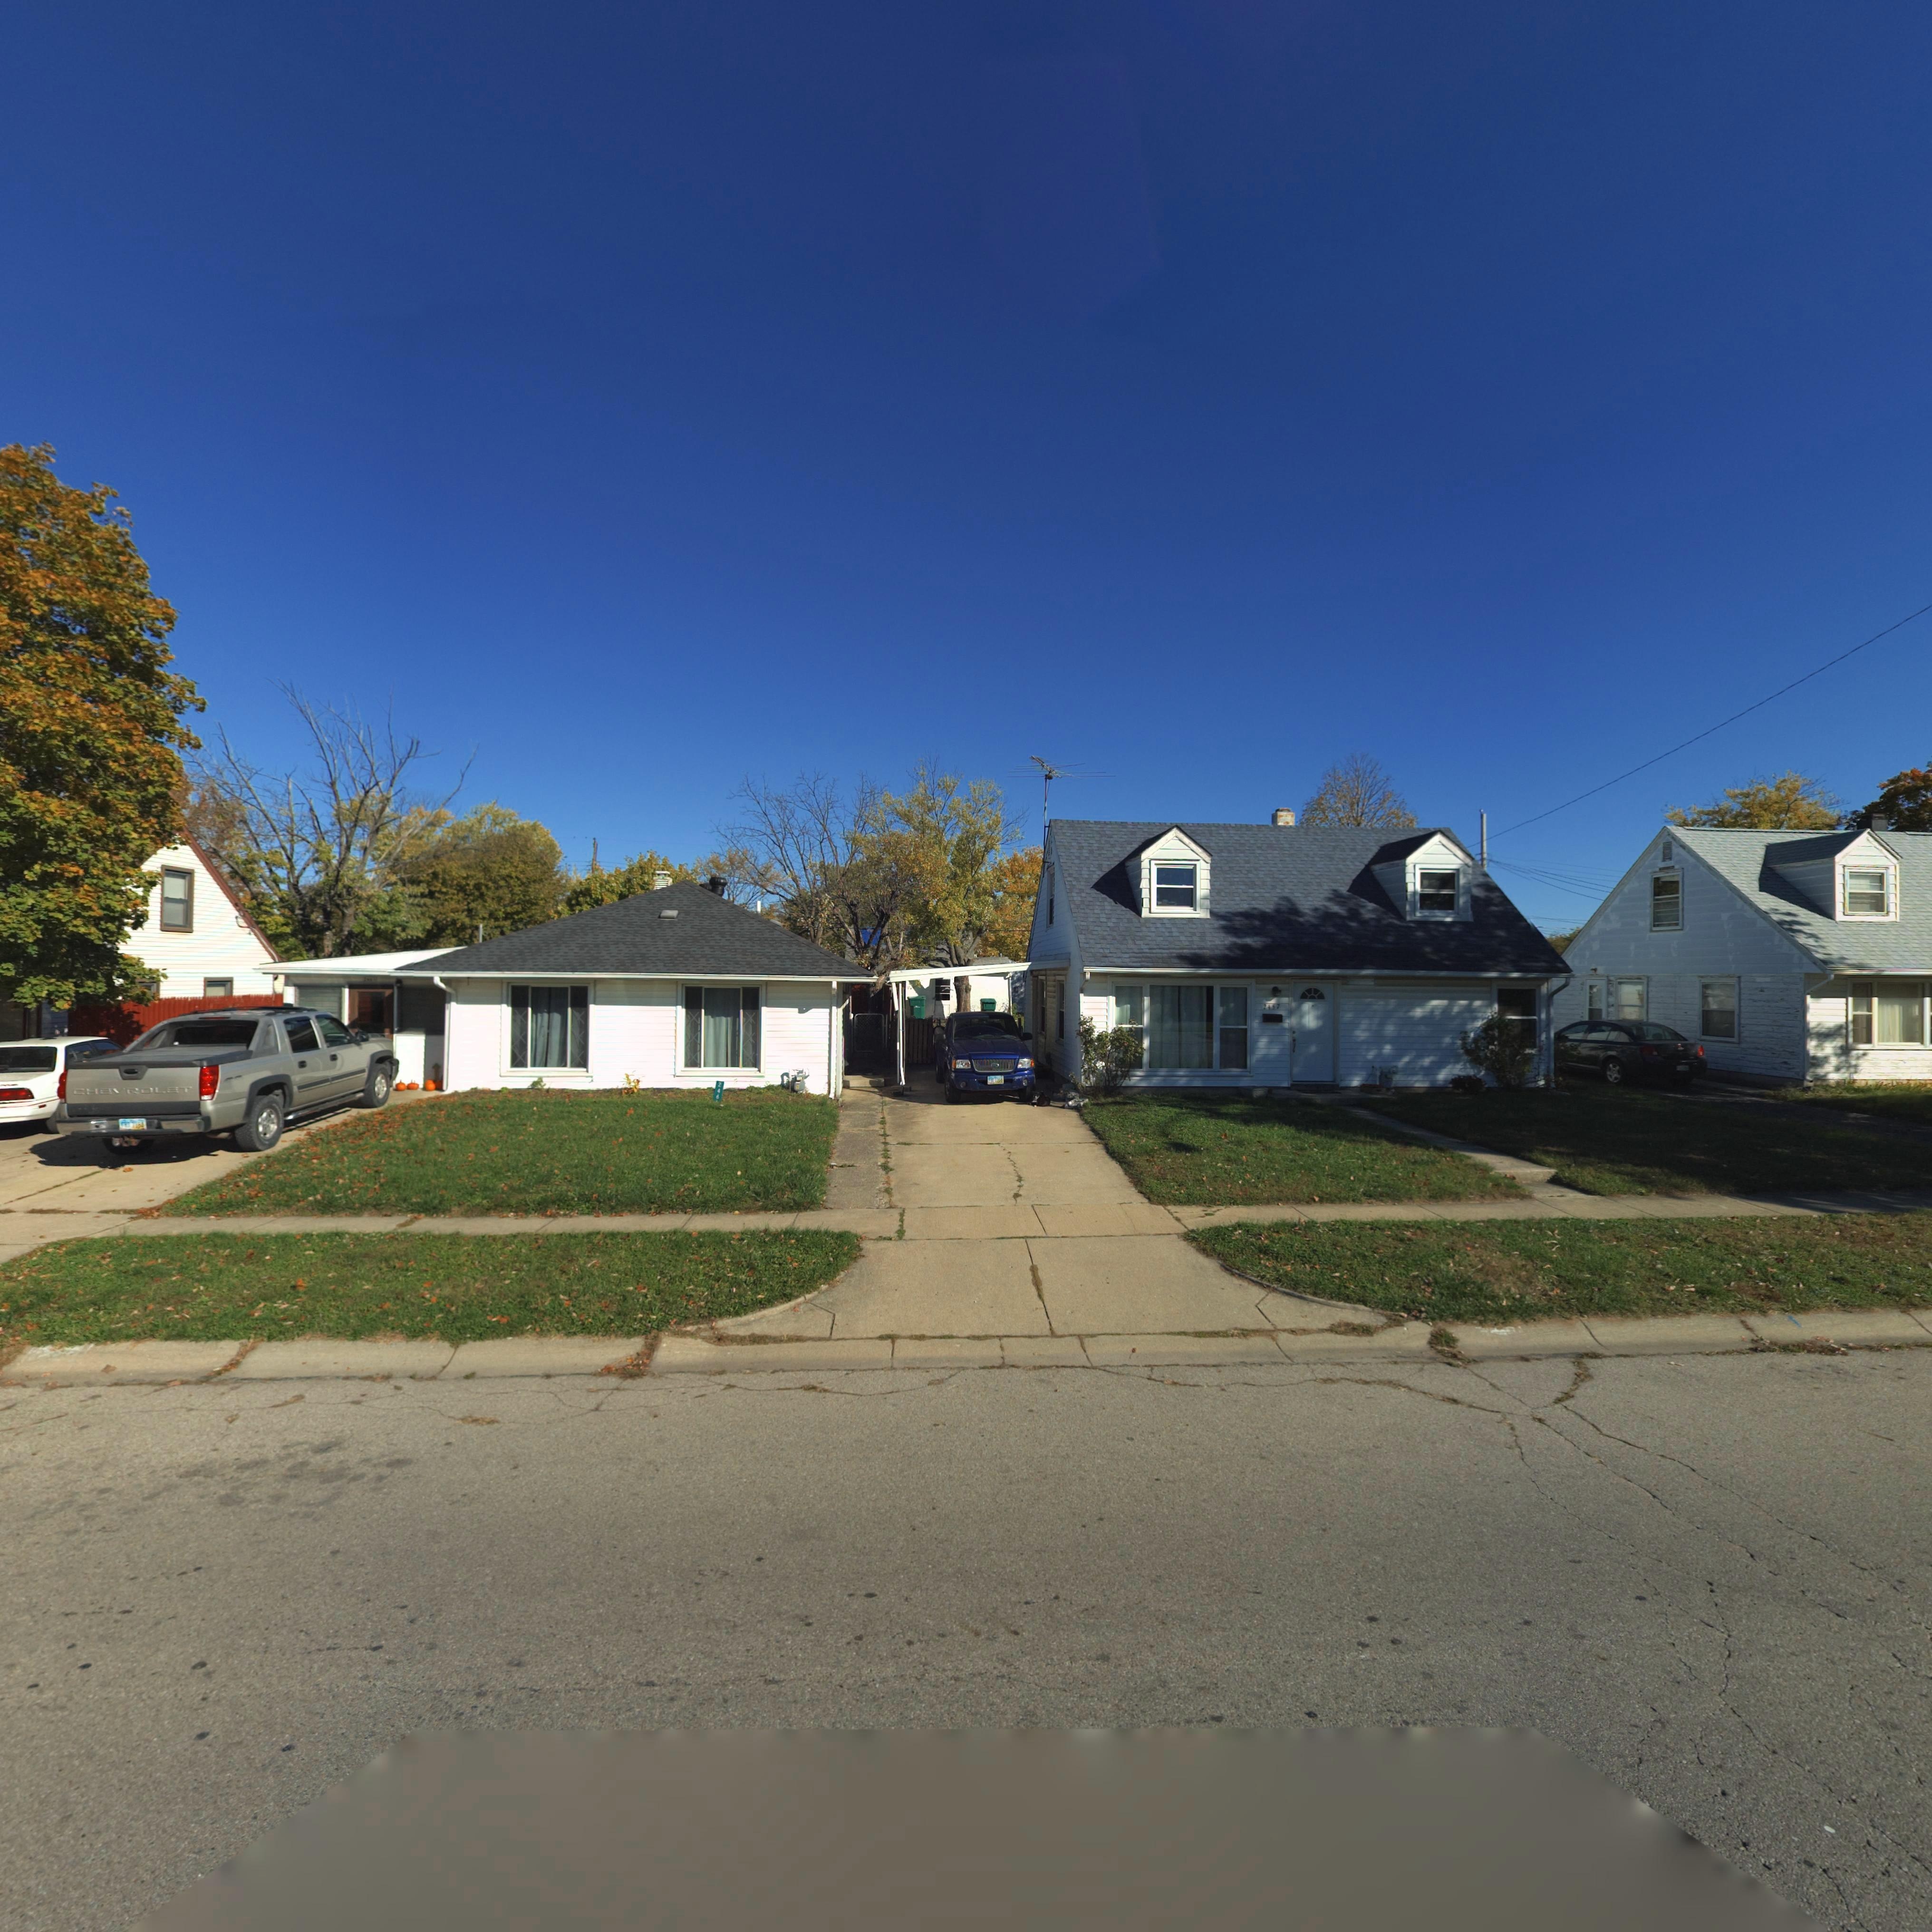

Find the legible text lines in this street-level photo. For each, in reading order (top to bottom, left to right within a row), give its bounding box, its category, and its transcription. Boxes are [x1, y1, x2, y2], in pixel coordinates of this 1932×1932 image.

[1262, 1003, 1281, 1011] StreetNumber: 2457\
[71, 1085, 193, 1096] None: CHEVROLET
[715, 1081, 723, 1101] StreetNumber: 246